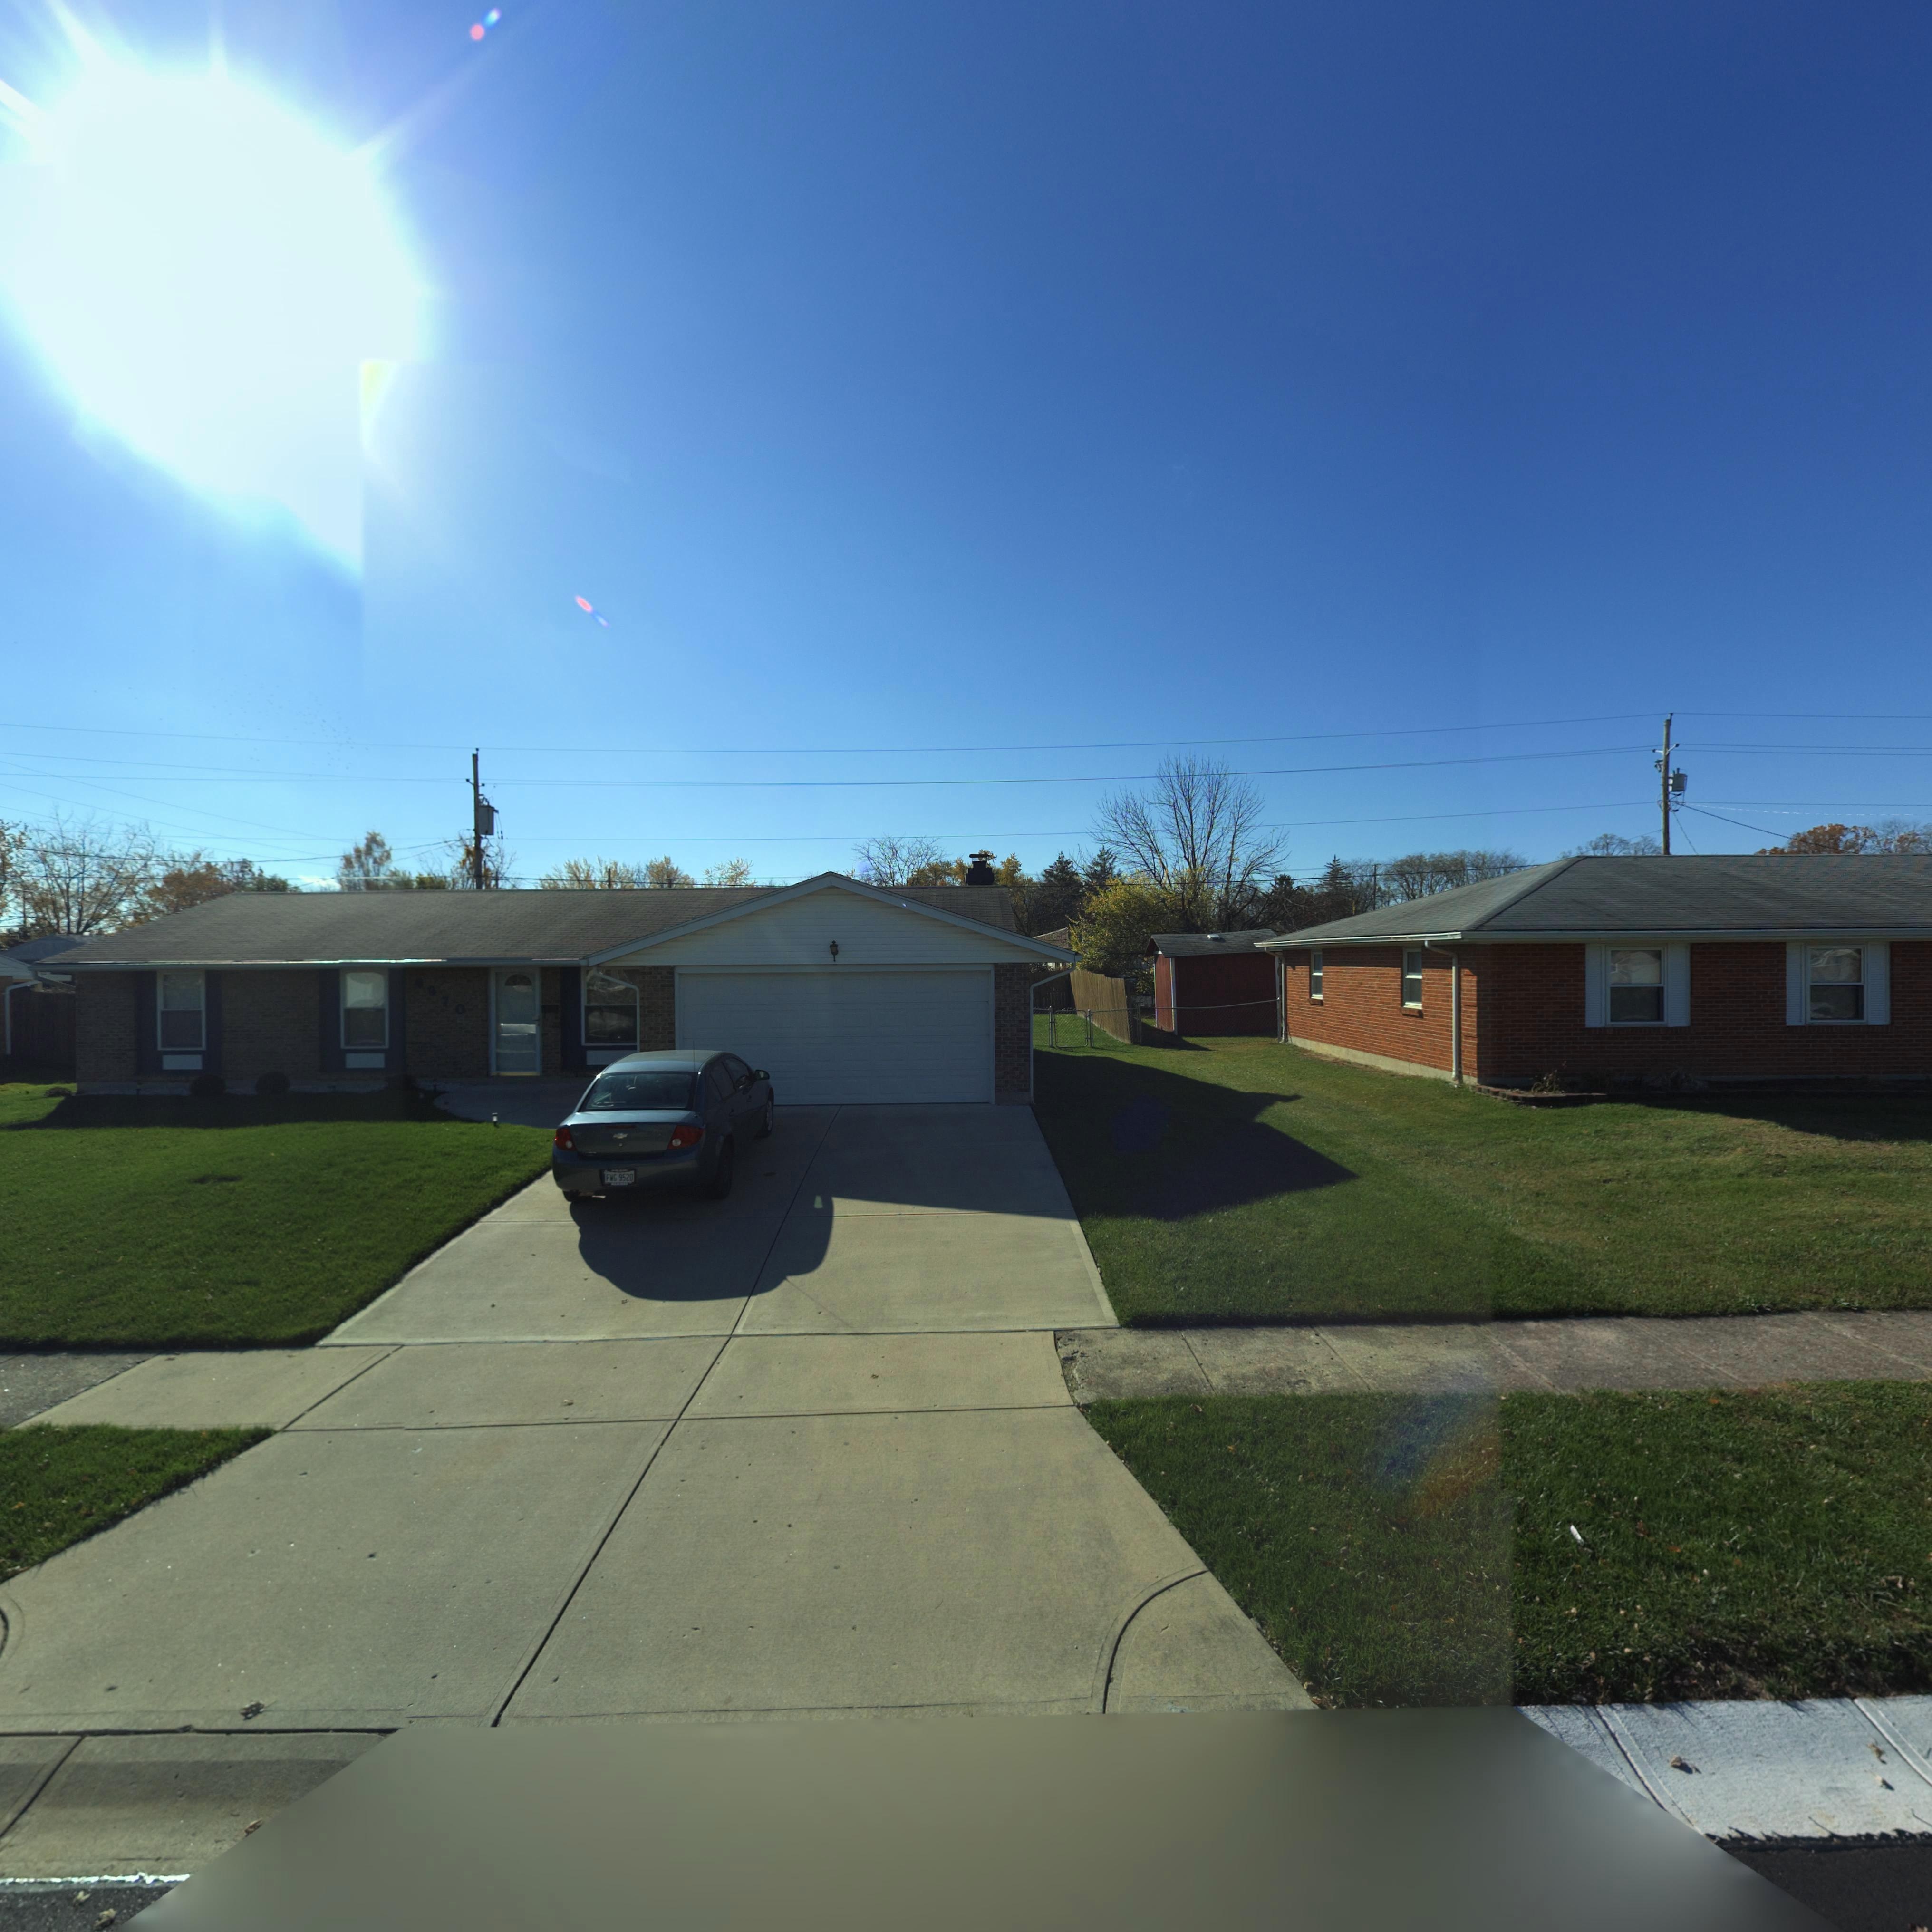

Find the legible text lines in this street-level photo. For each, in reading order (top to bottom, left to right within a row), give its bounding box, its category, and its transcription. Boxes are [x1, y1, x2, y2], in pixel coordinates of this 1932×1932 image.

[414, 976, 466, 1016] StreetNumber: 6970